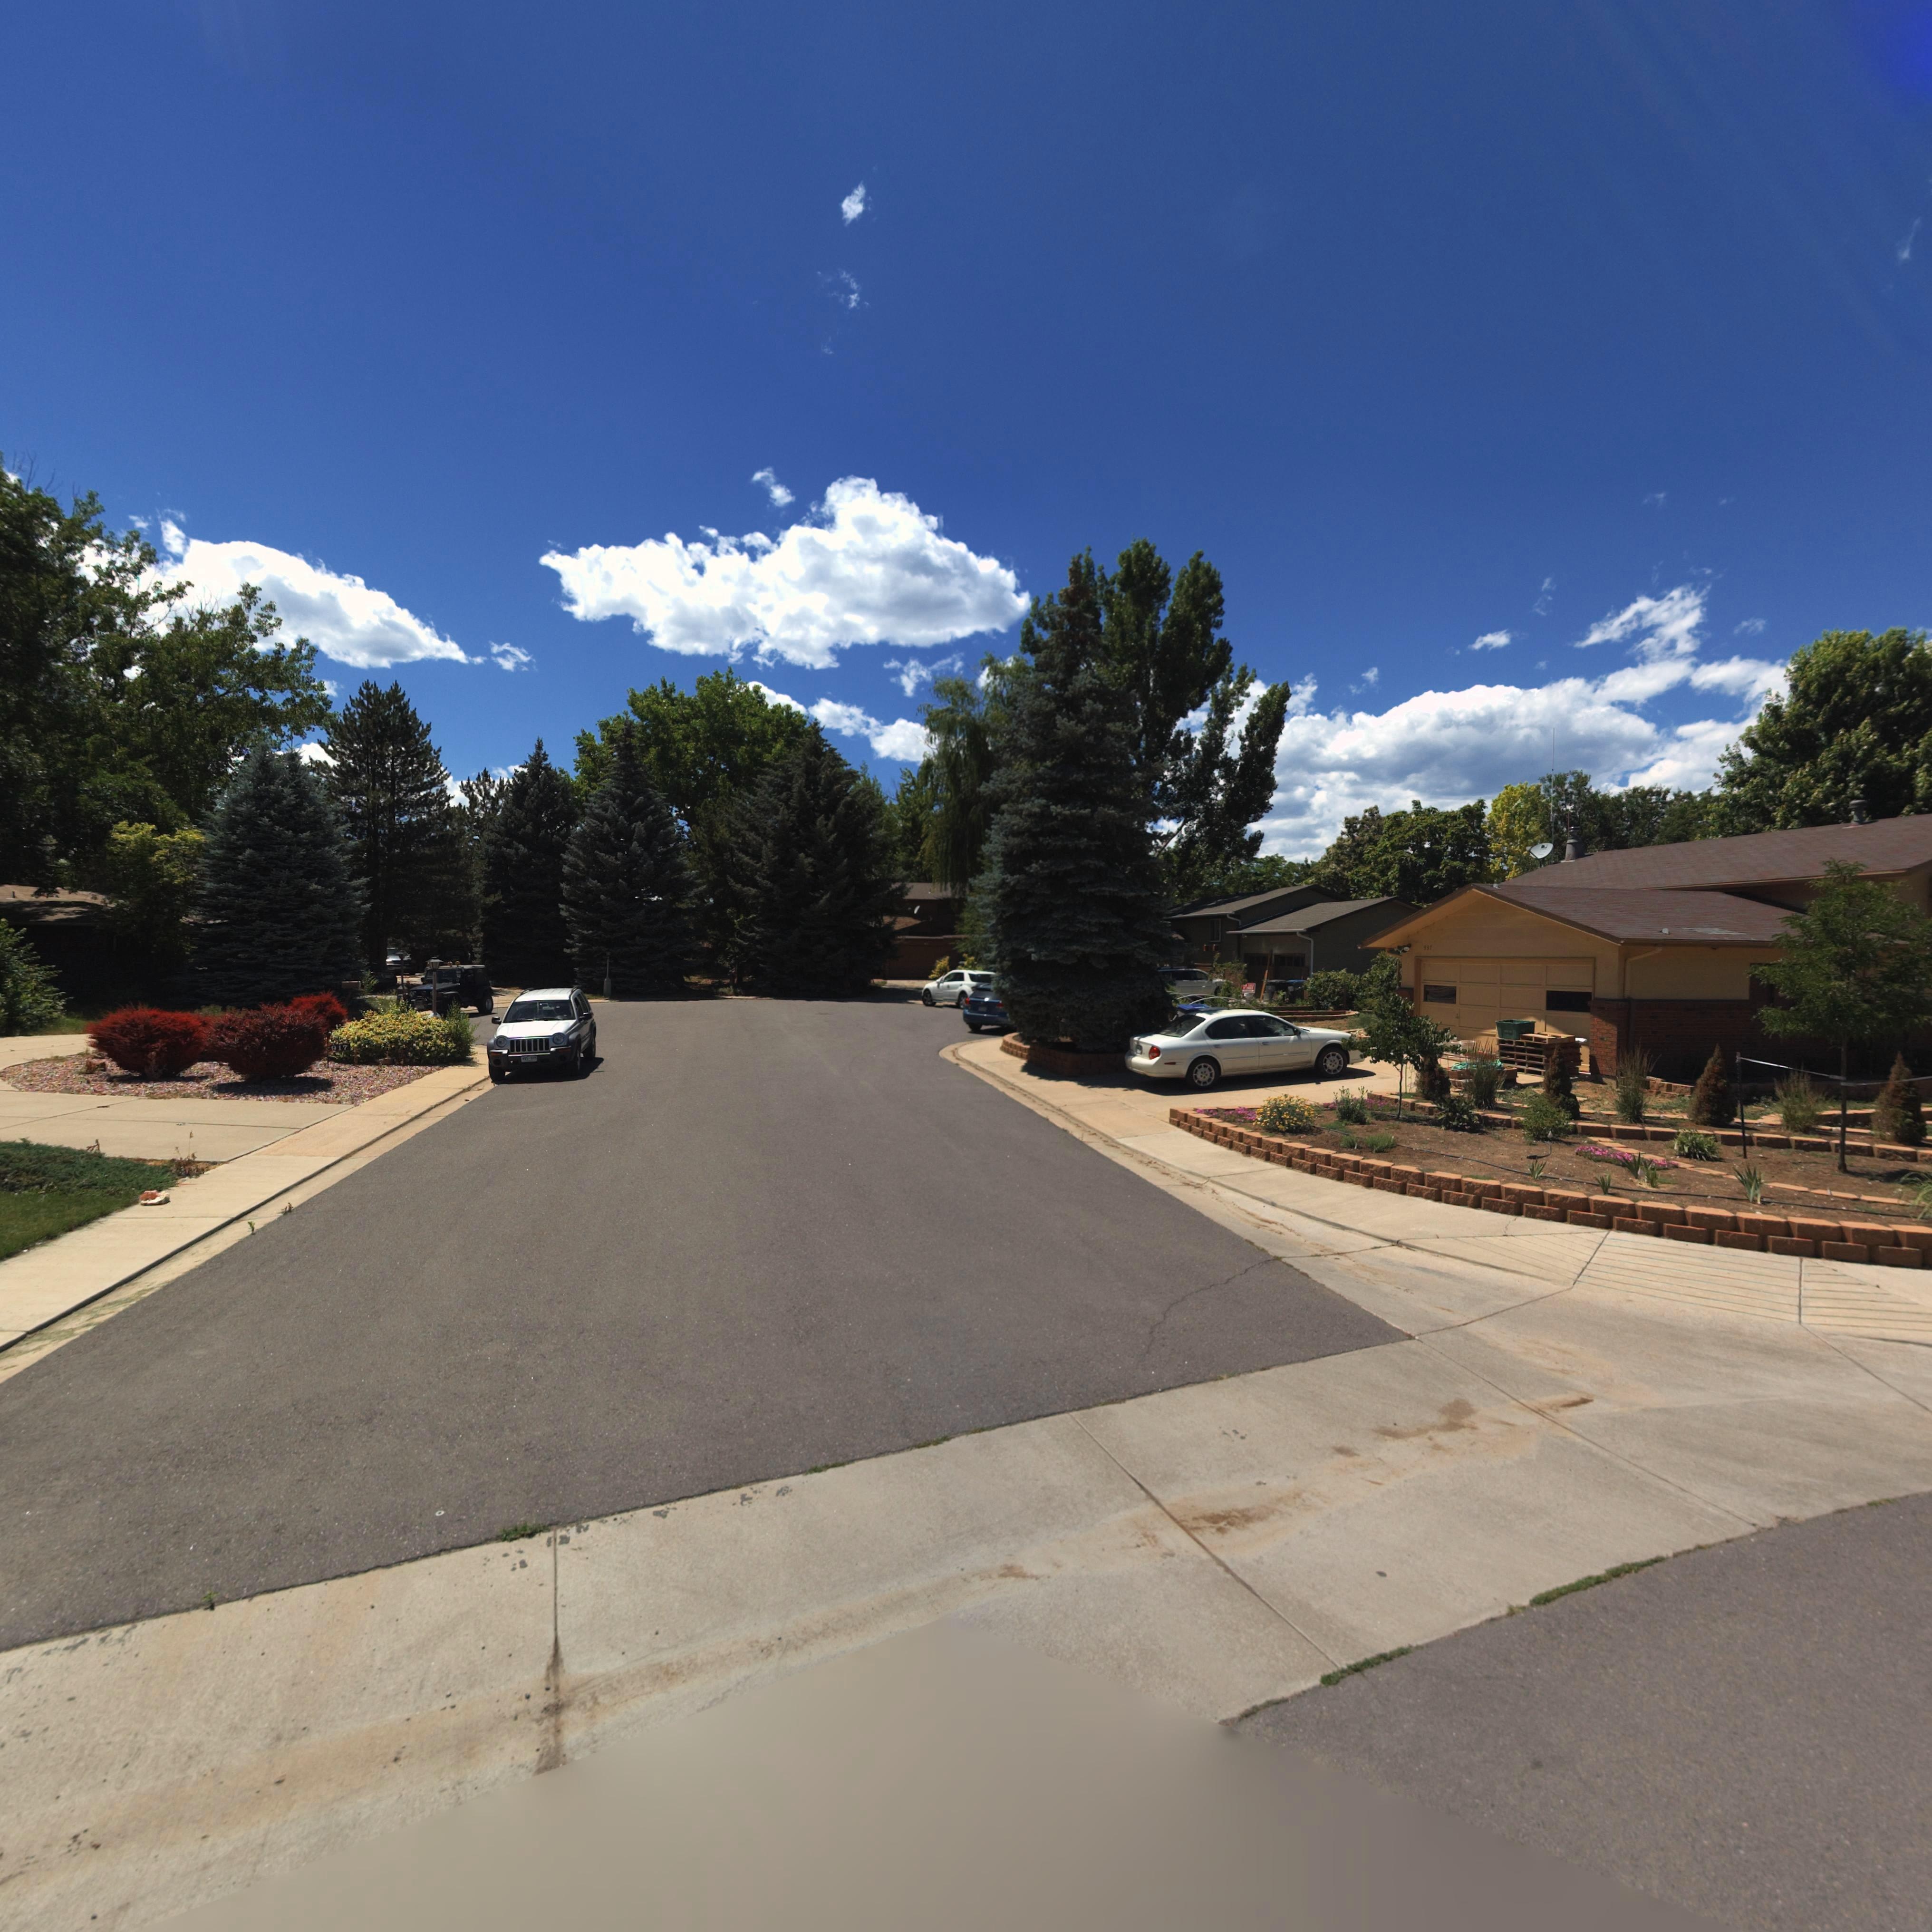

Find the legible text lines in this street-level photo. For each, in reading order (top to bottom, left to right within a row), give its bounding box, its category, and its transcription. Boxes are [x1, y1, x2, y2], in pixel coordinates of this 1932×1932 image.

[1423, 945, 1432, 950] StreetNumber: 937